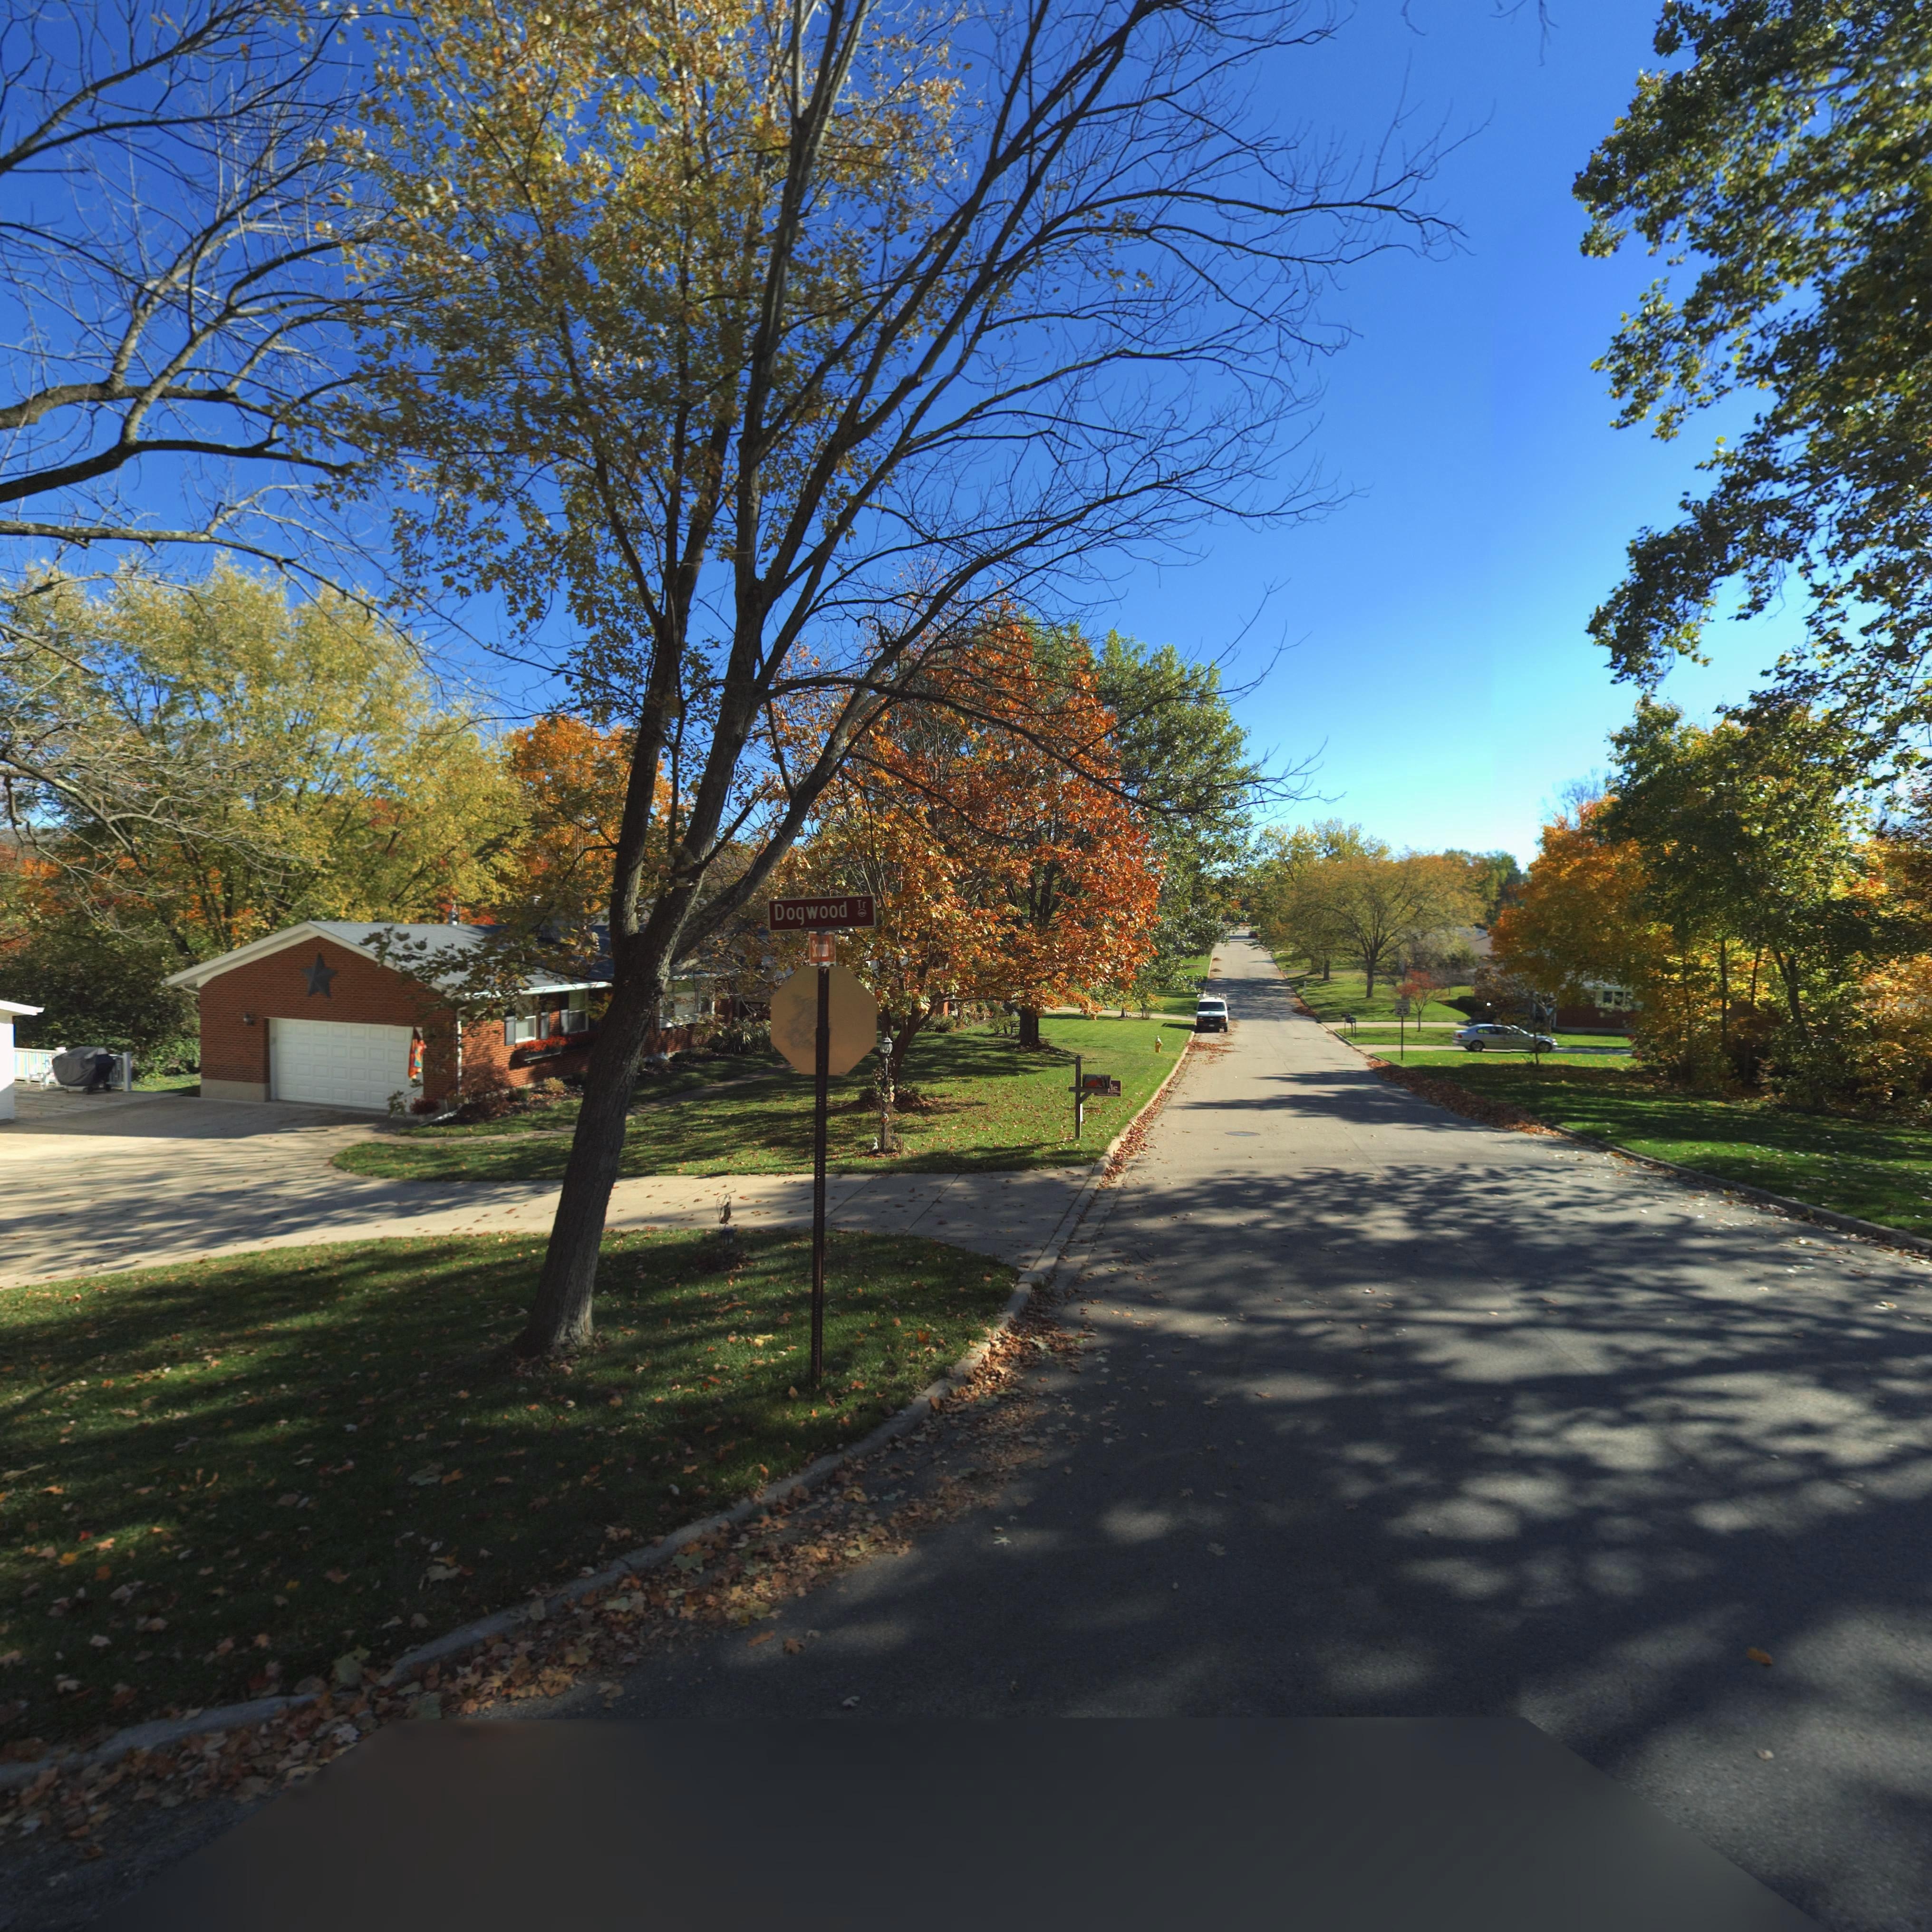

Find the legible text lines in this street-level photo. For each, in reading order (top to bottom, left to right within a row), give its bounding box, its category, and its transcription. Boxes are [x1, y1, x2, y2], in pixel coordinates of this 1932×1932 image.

[1075, 1057, 1081, 1078] StreetNumber: 849